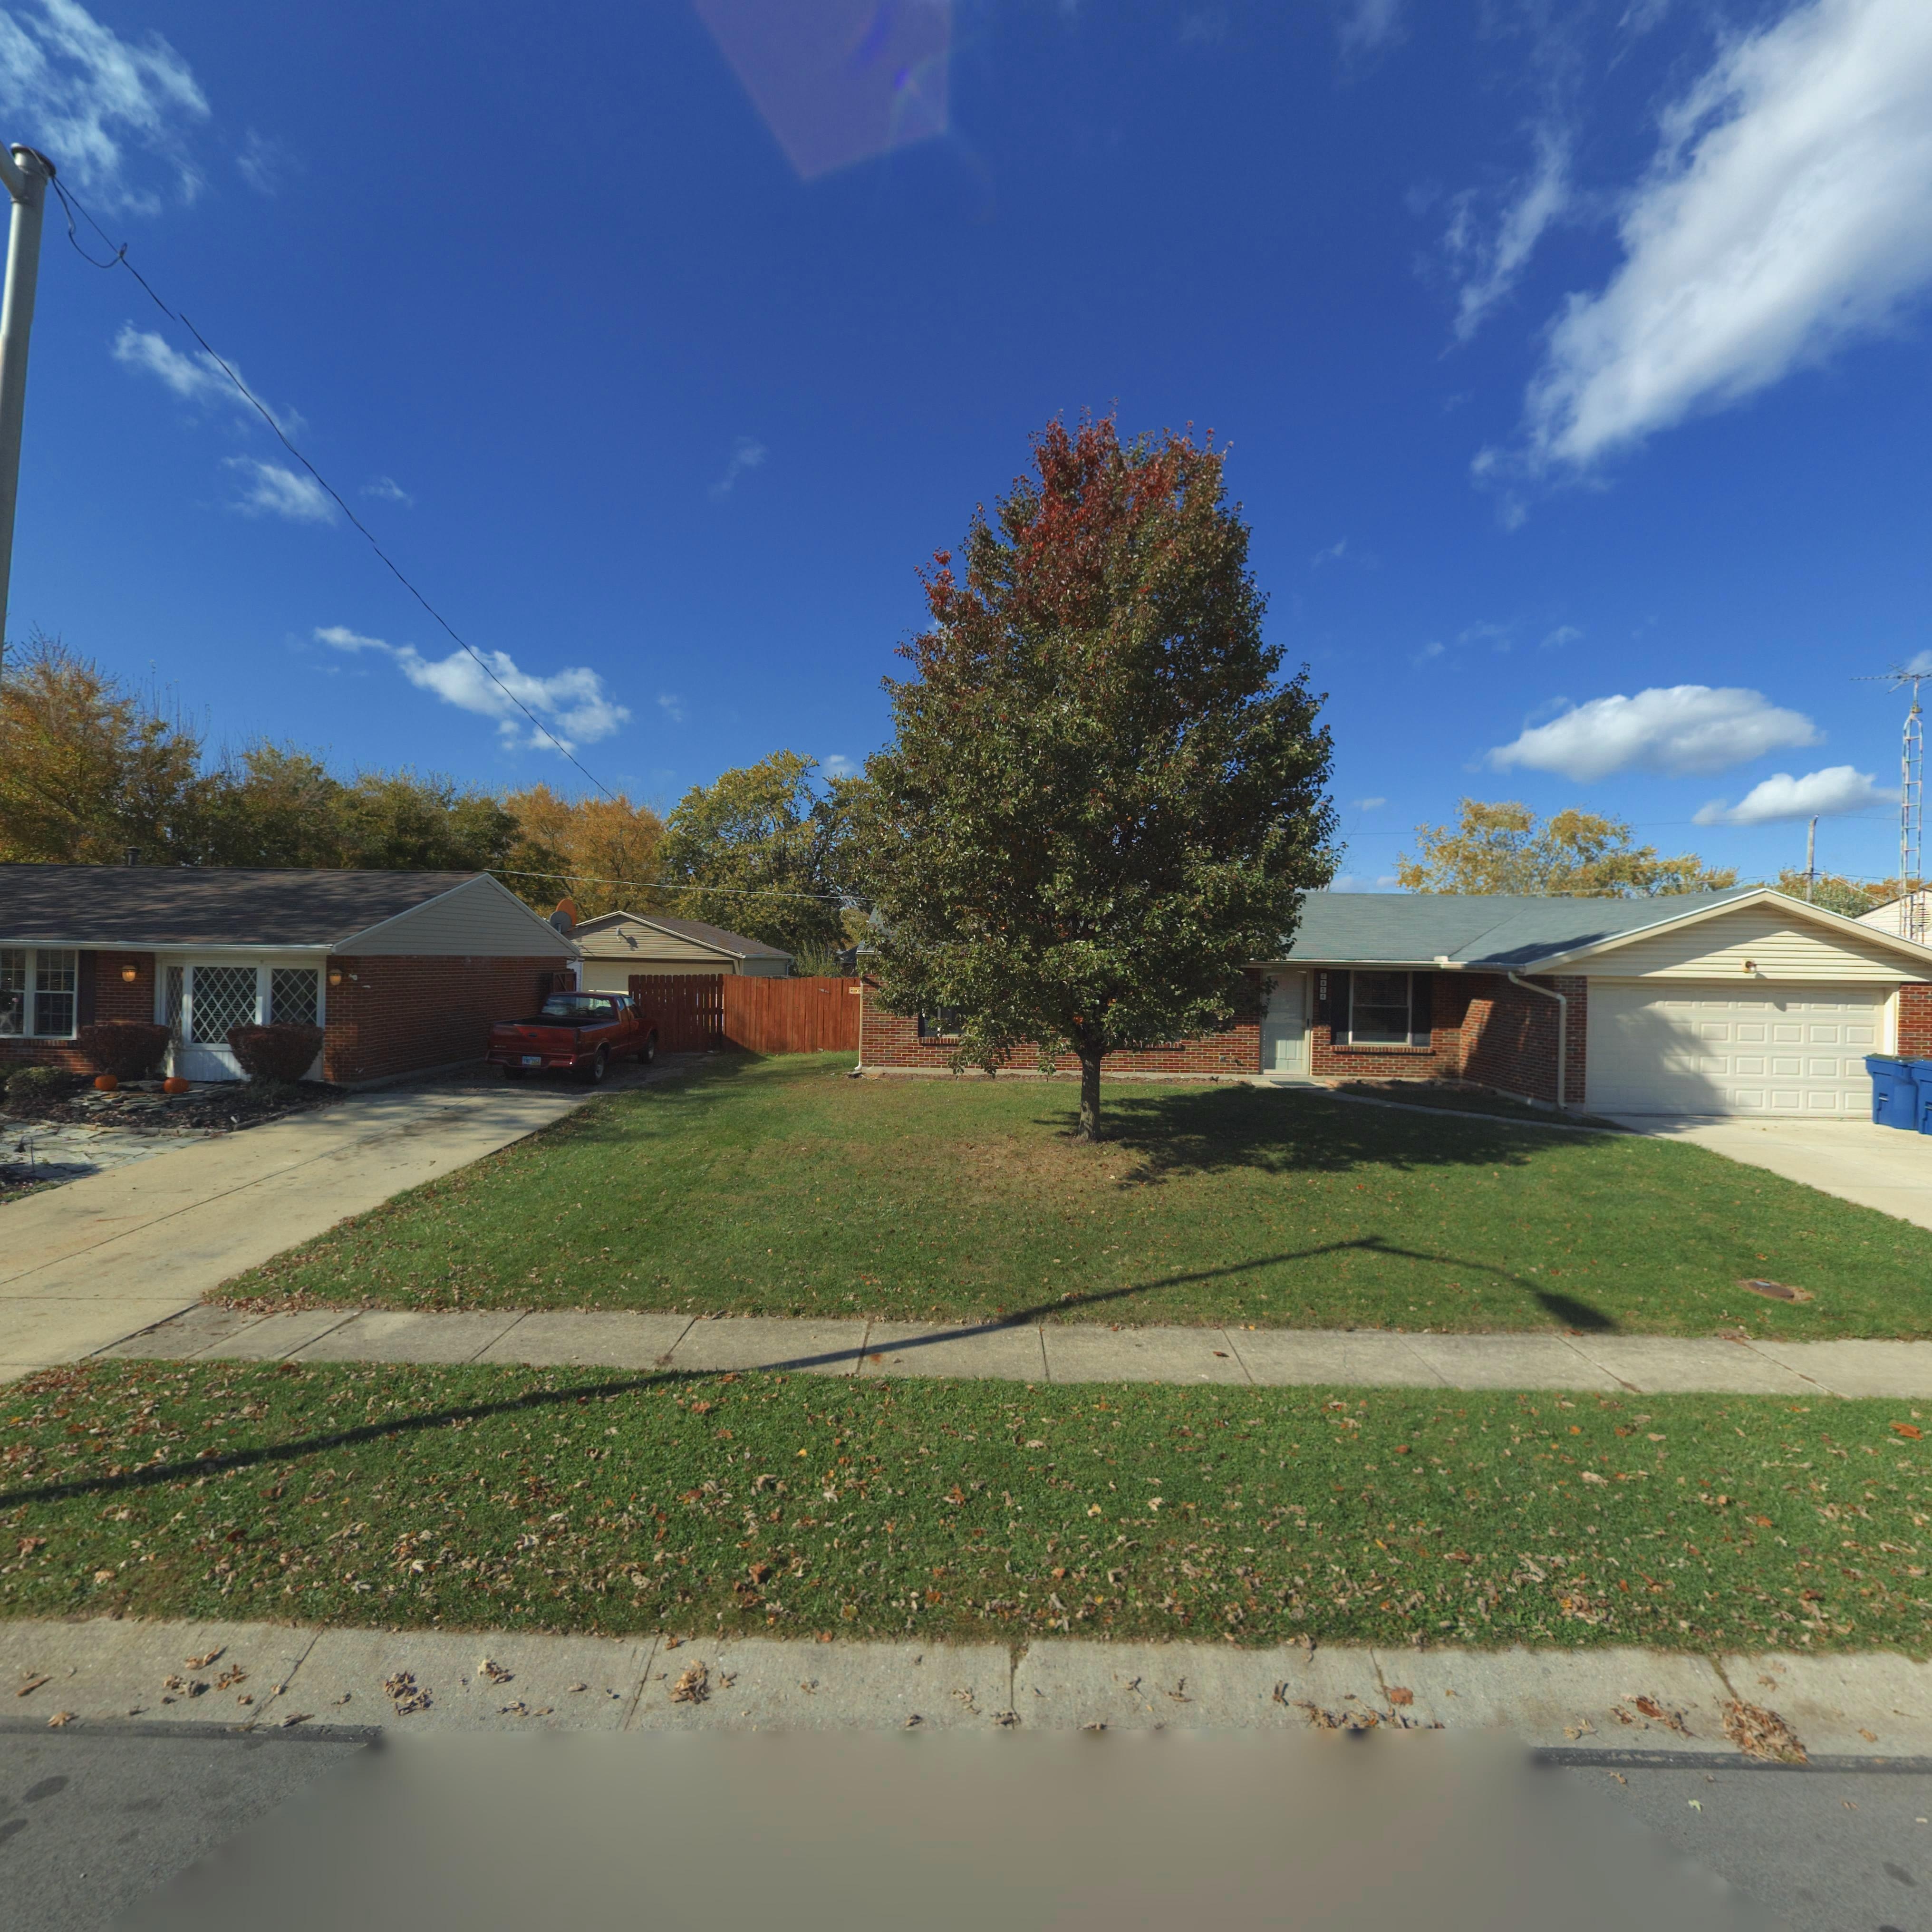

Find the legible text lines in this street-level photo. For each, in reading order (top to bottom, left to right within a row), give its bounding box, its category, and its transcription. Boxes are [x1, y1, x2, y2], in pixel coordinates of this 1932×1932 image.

[1320, 973, 1326, 1000] StreetNumber: 7654